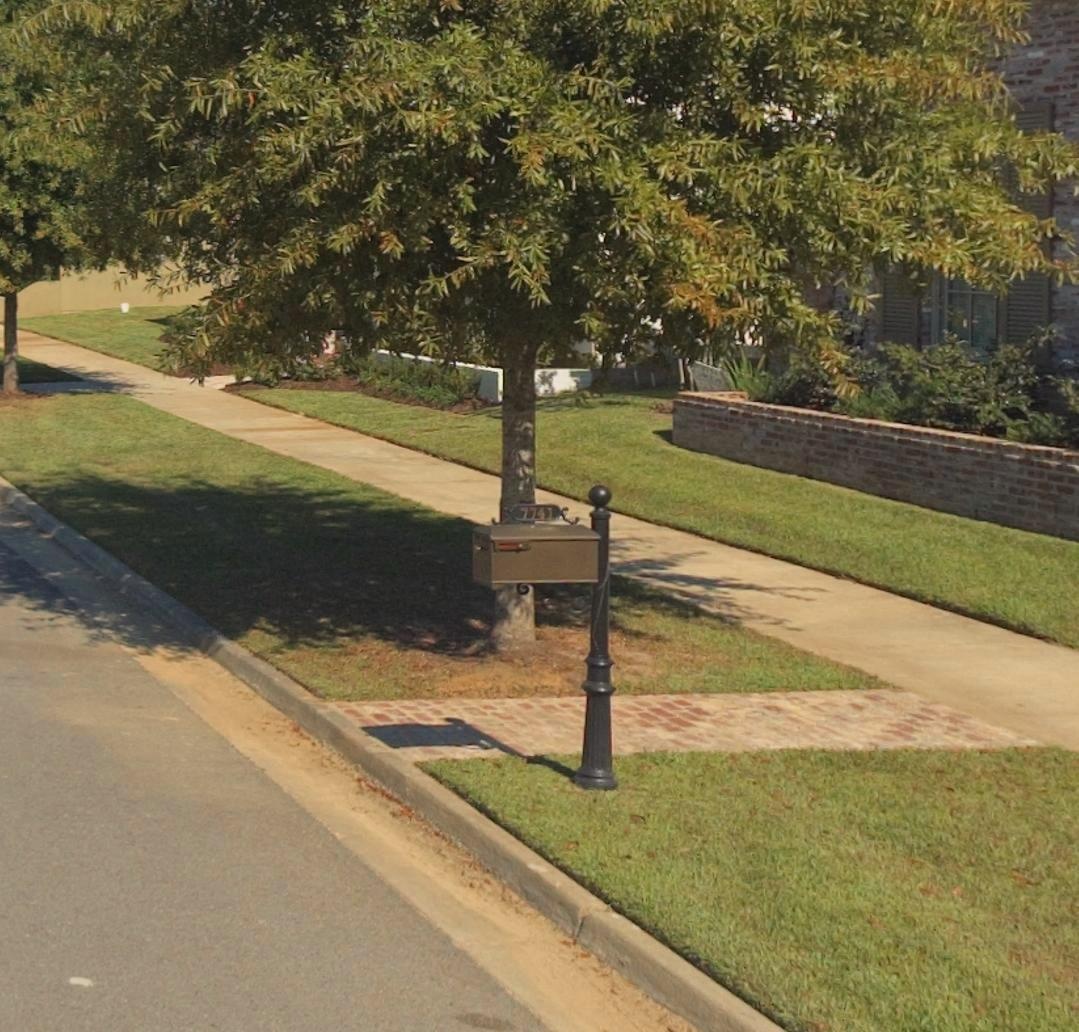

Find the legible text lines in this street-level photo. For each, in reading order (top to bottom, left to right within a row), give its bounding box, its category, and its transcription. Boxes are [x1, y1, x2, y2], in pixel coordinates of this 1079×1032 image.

[520, 507, 554, 520] StreetNumber: 7741